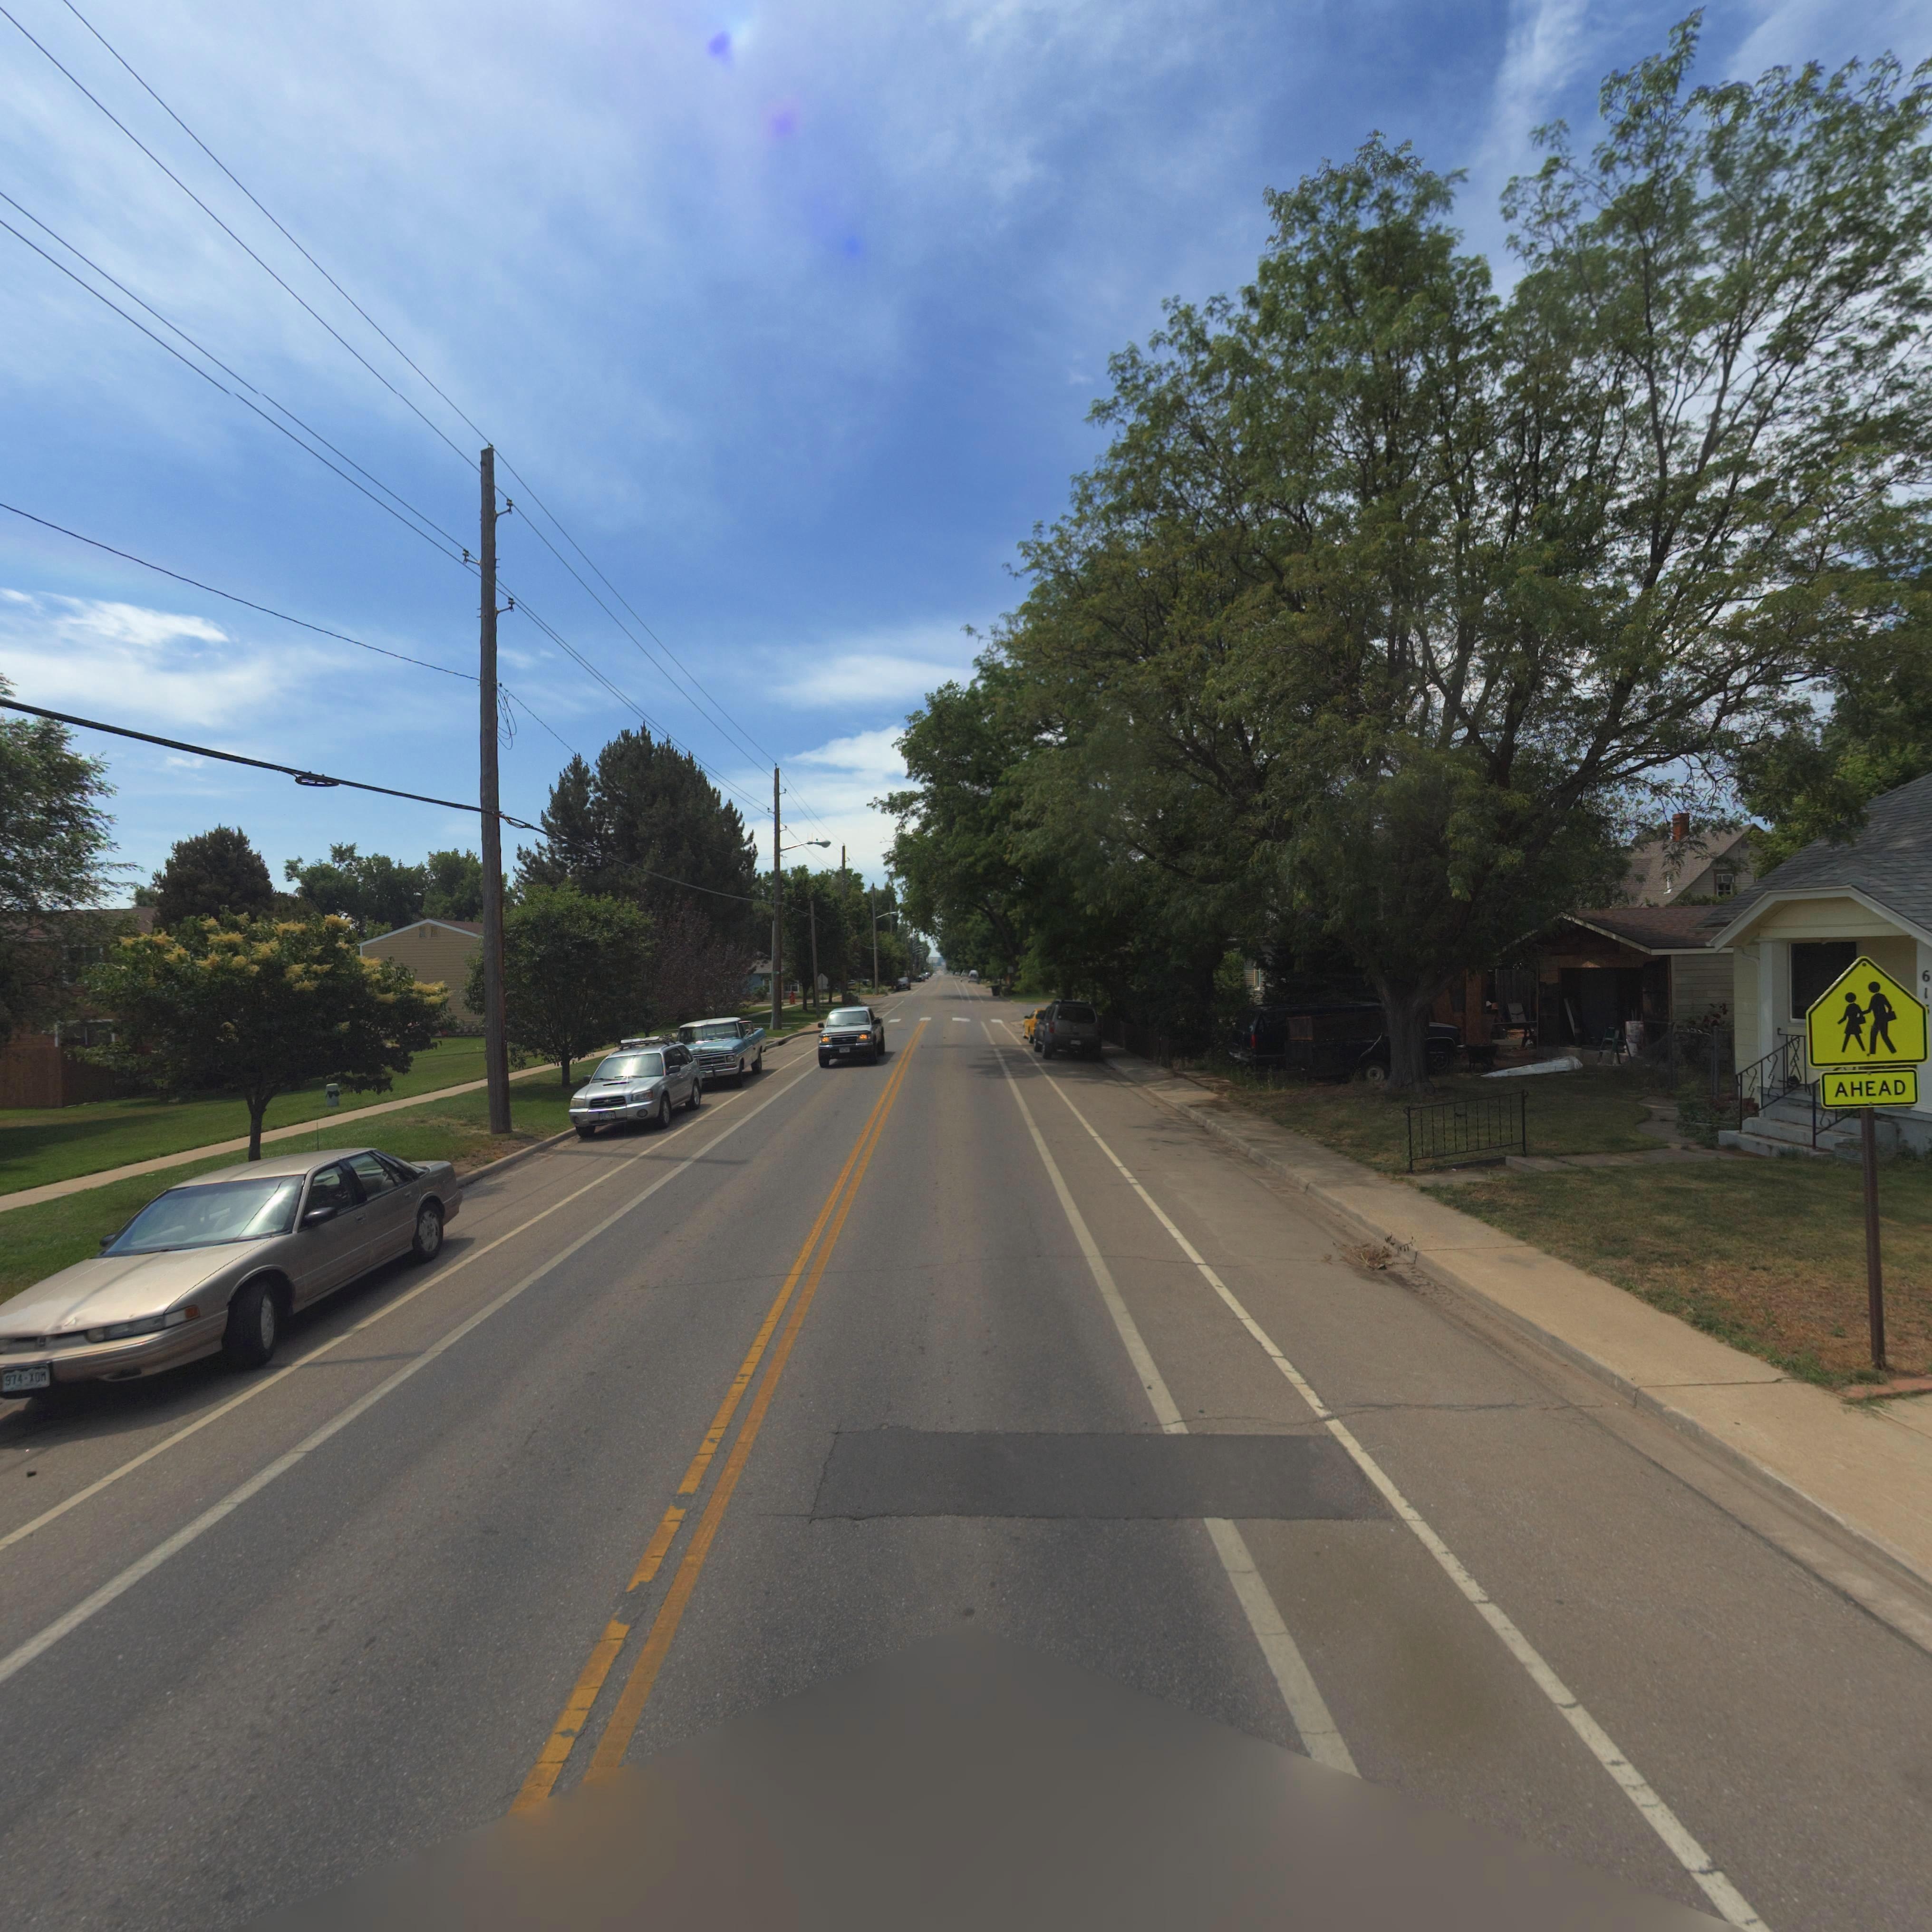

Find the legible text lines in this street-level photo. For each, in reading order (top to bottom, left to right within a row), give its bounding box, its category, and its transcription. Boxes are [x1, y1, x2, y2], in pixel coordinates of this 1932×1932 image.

[1922, 969, 1930, 999] StreetNumber: 61